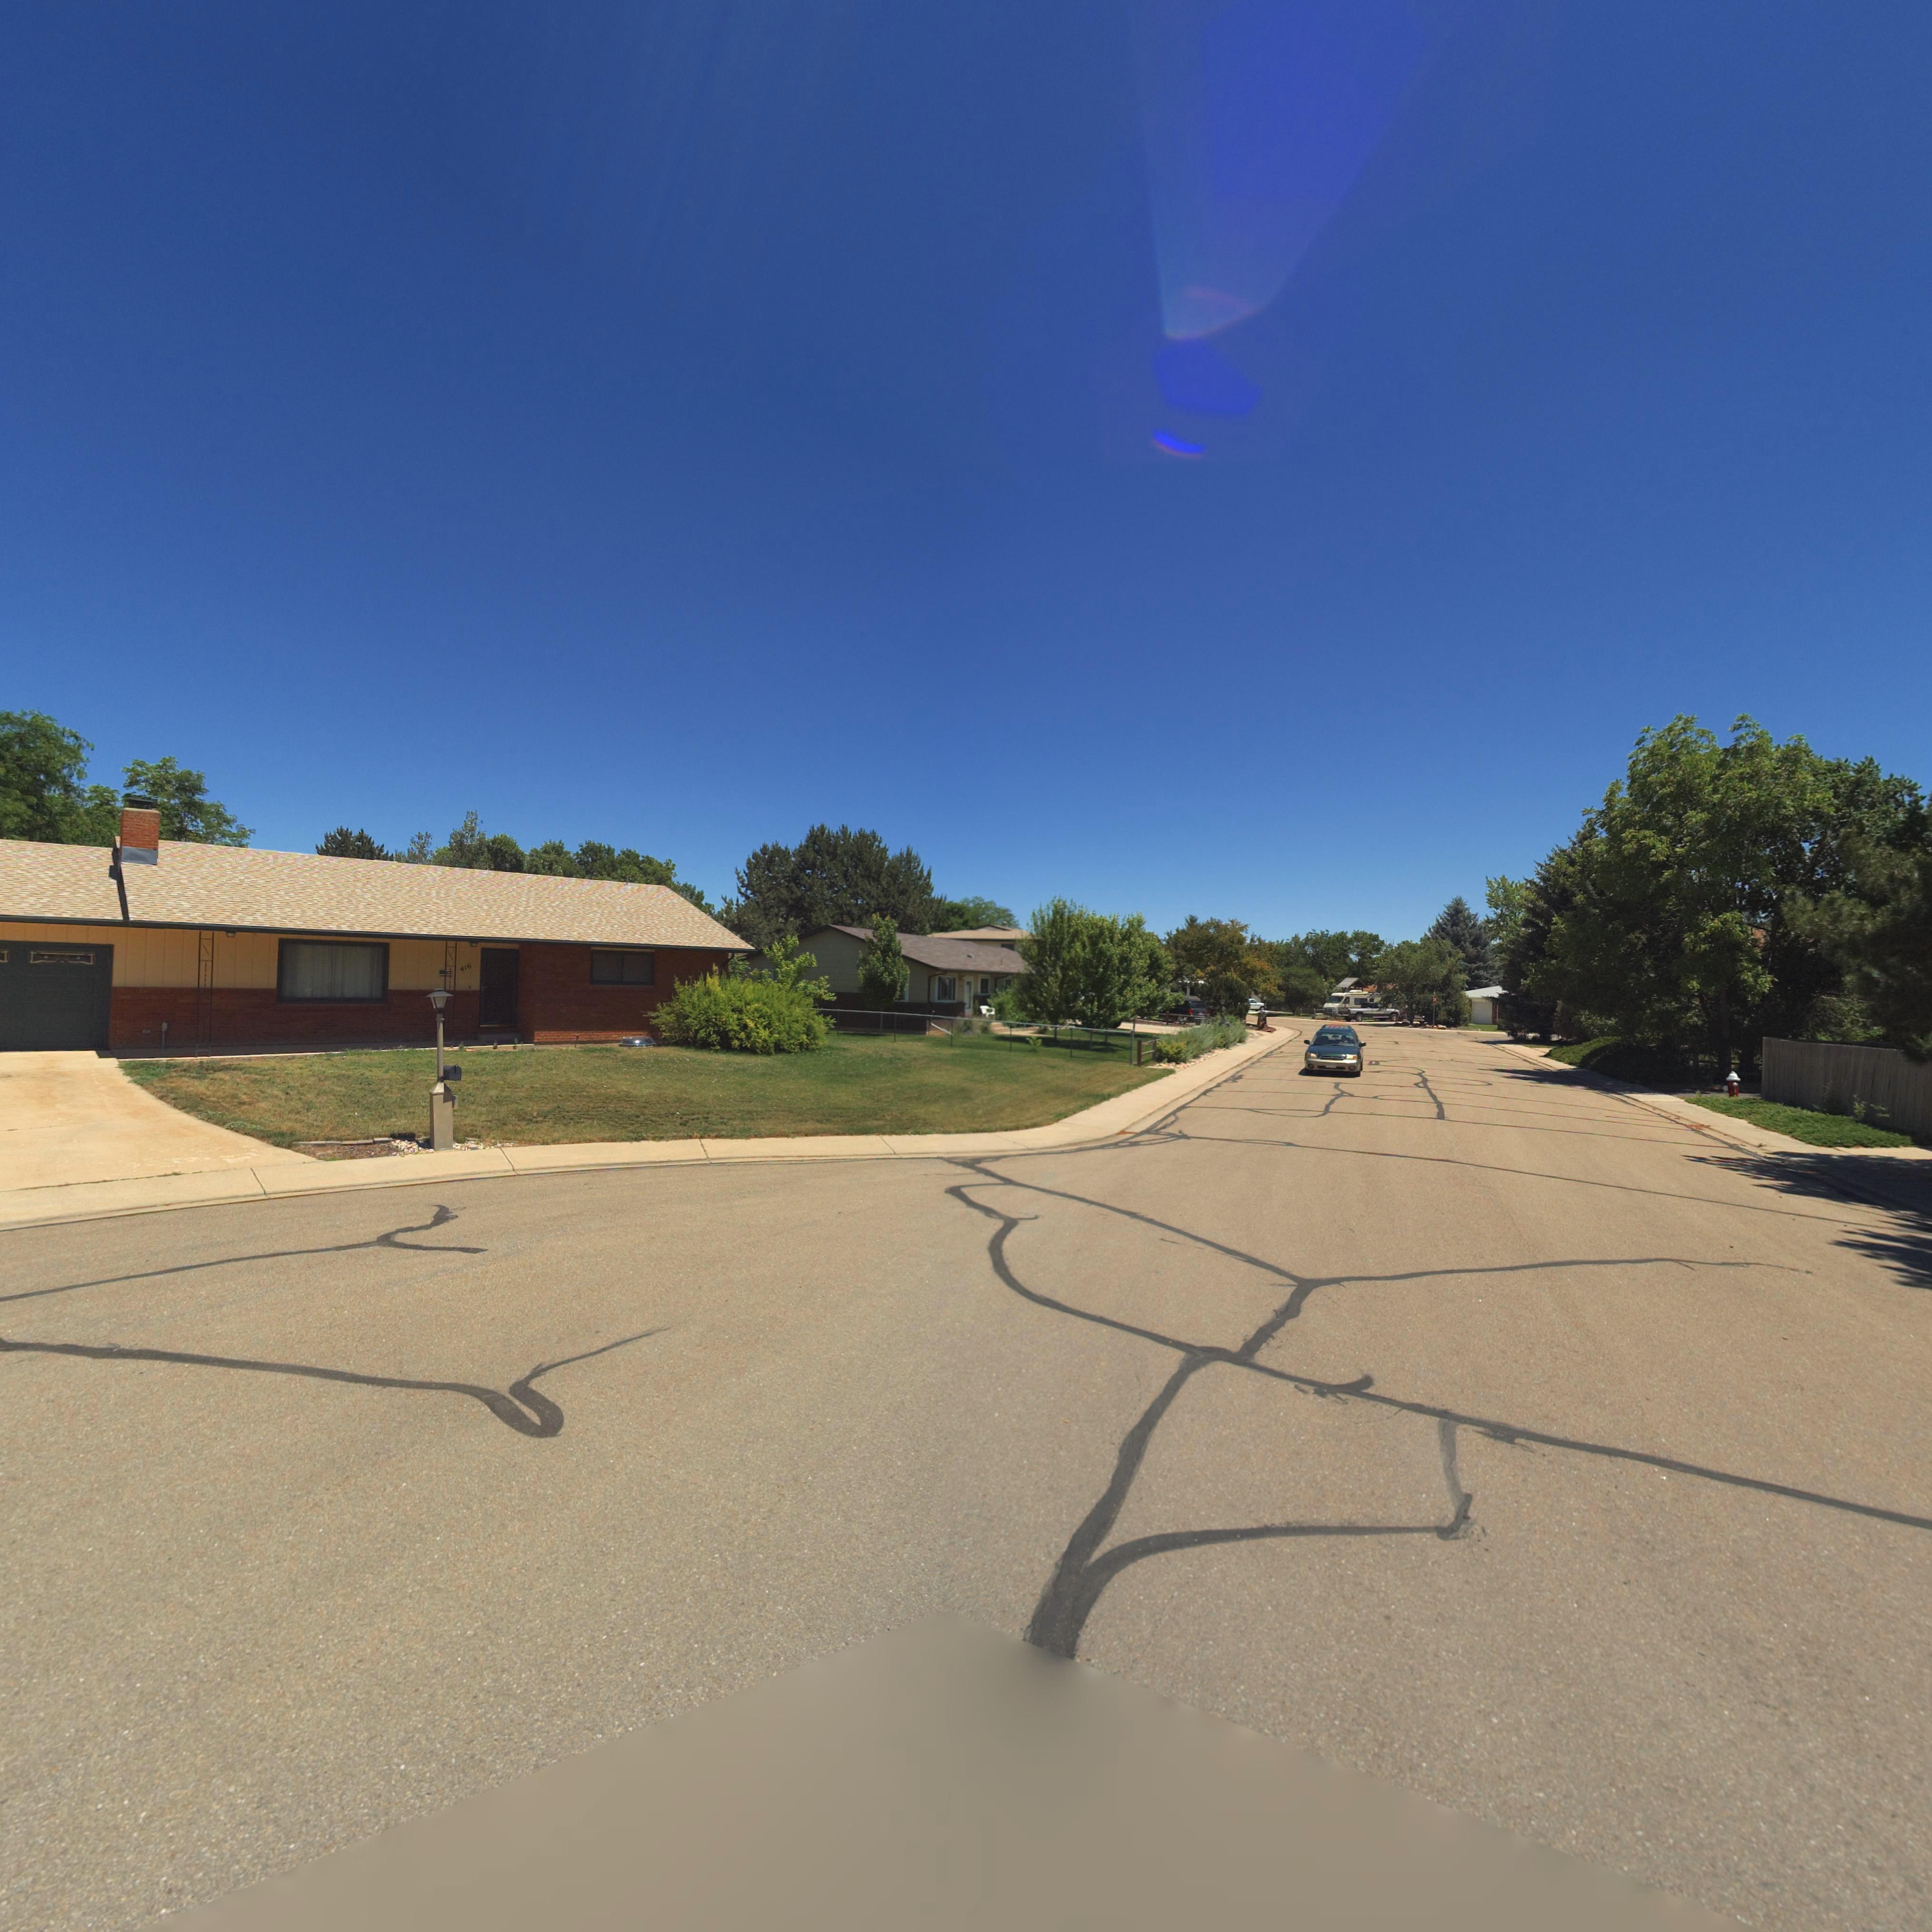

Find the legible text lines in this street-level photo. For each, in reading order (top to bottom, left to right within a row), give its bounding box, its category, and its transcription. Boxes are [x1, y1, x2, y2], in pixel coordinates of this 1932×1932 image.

[459, 962, 472, 972] StreetNumber: 416